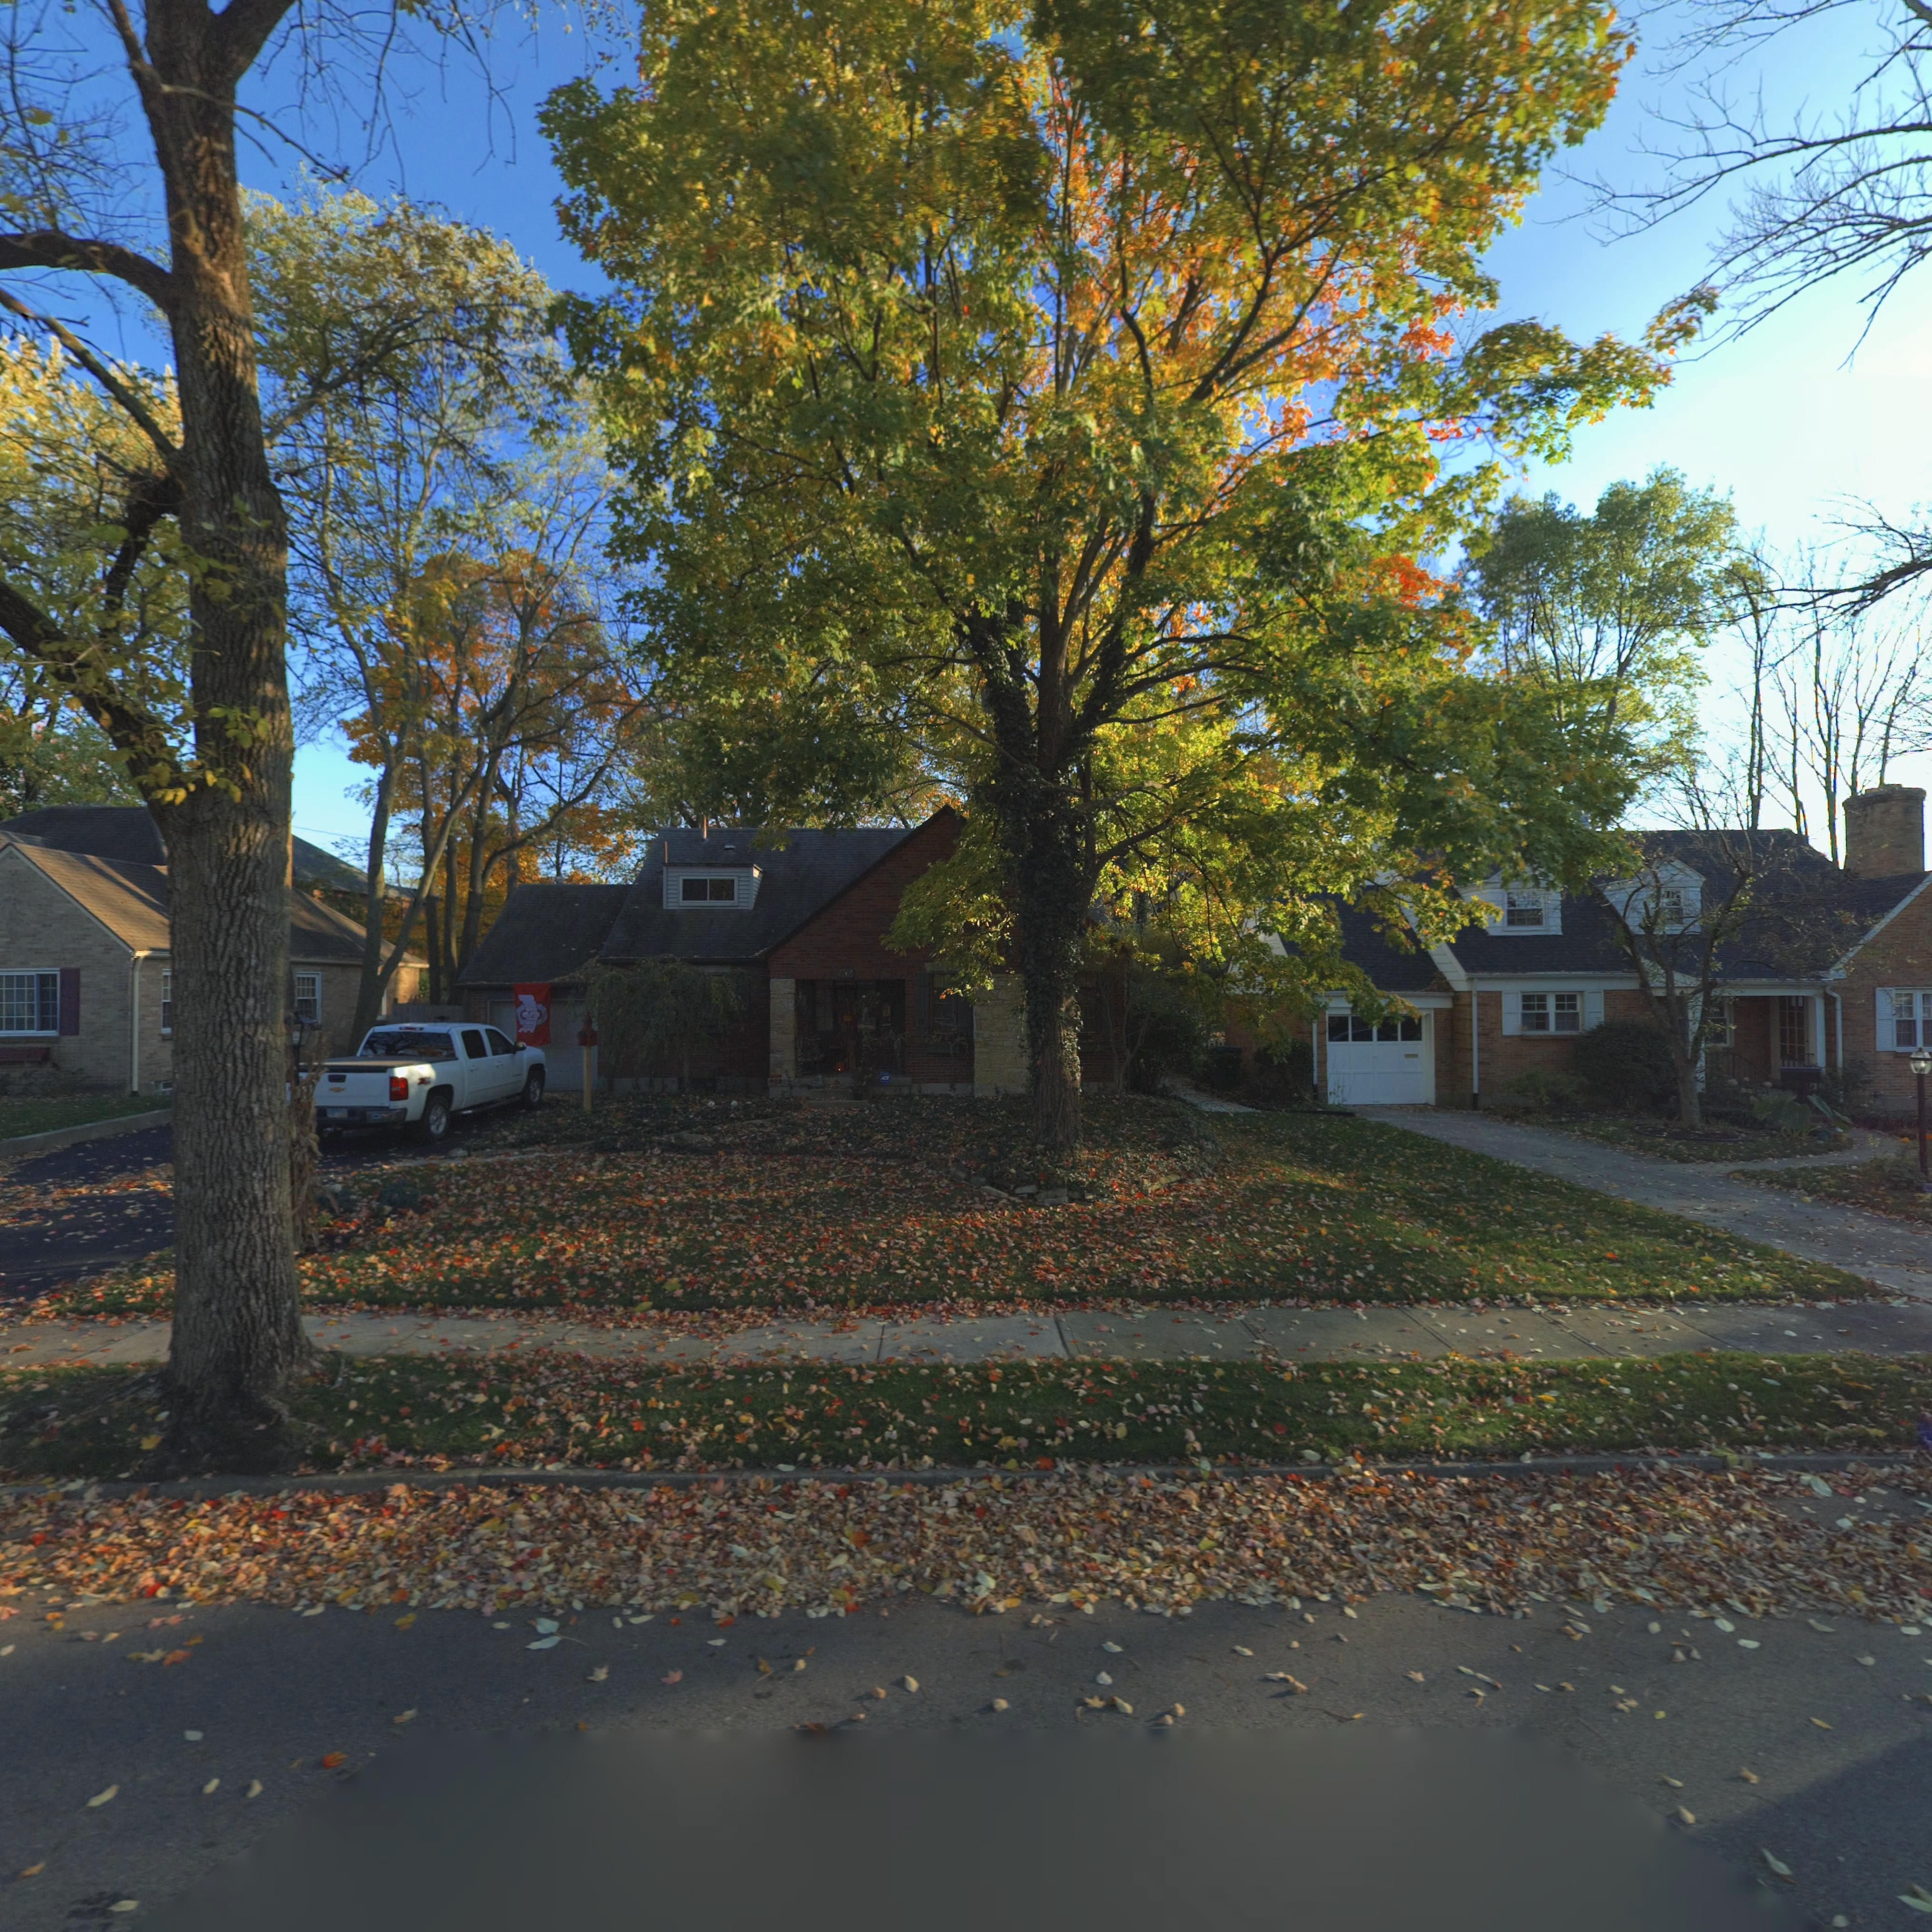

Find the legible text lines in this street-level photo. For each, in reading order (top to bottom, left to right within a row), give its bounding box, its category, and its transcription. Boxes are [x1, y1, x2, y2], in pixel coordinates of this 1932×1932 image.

[839, 968, 854, 978] StreetNumber: *32